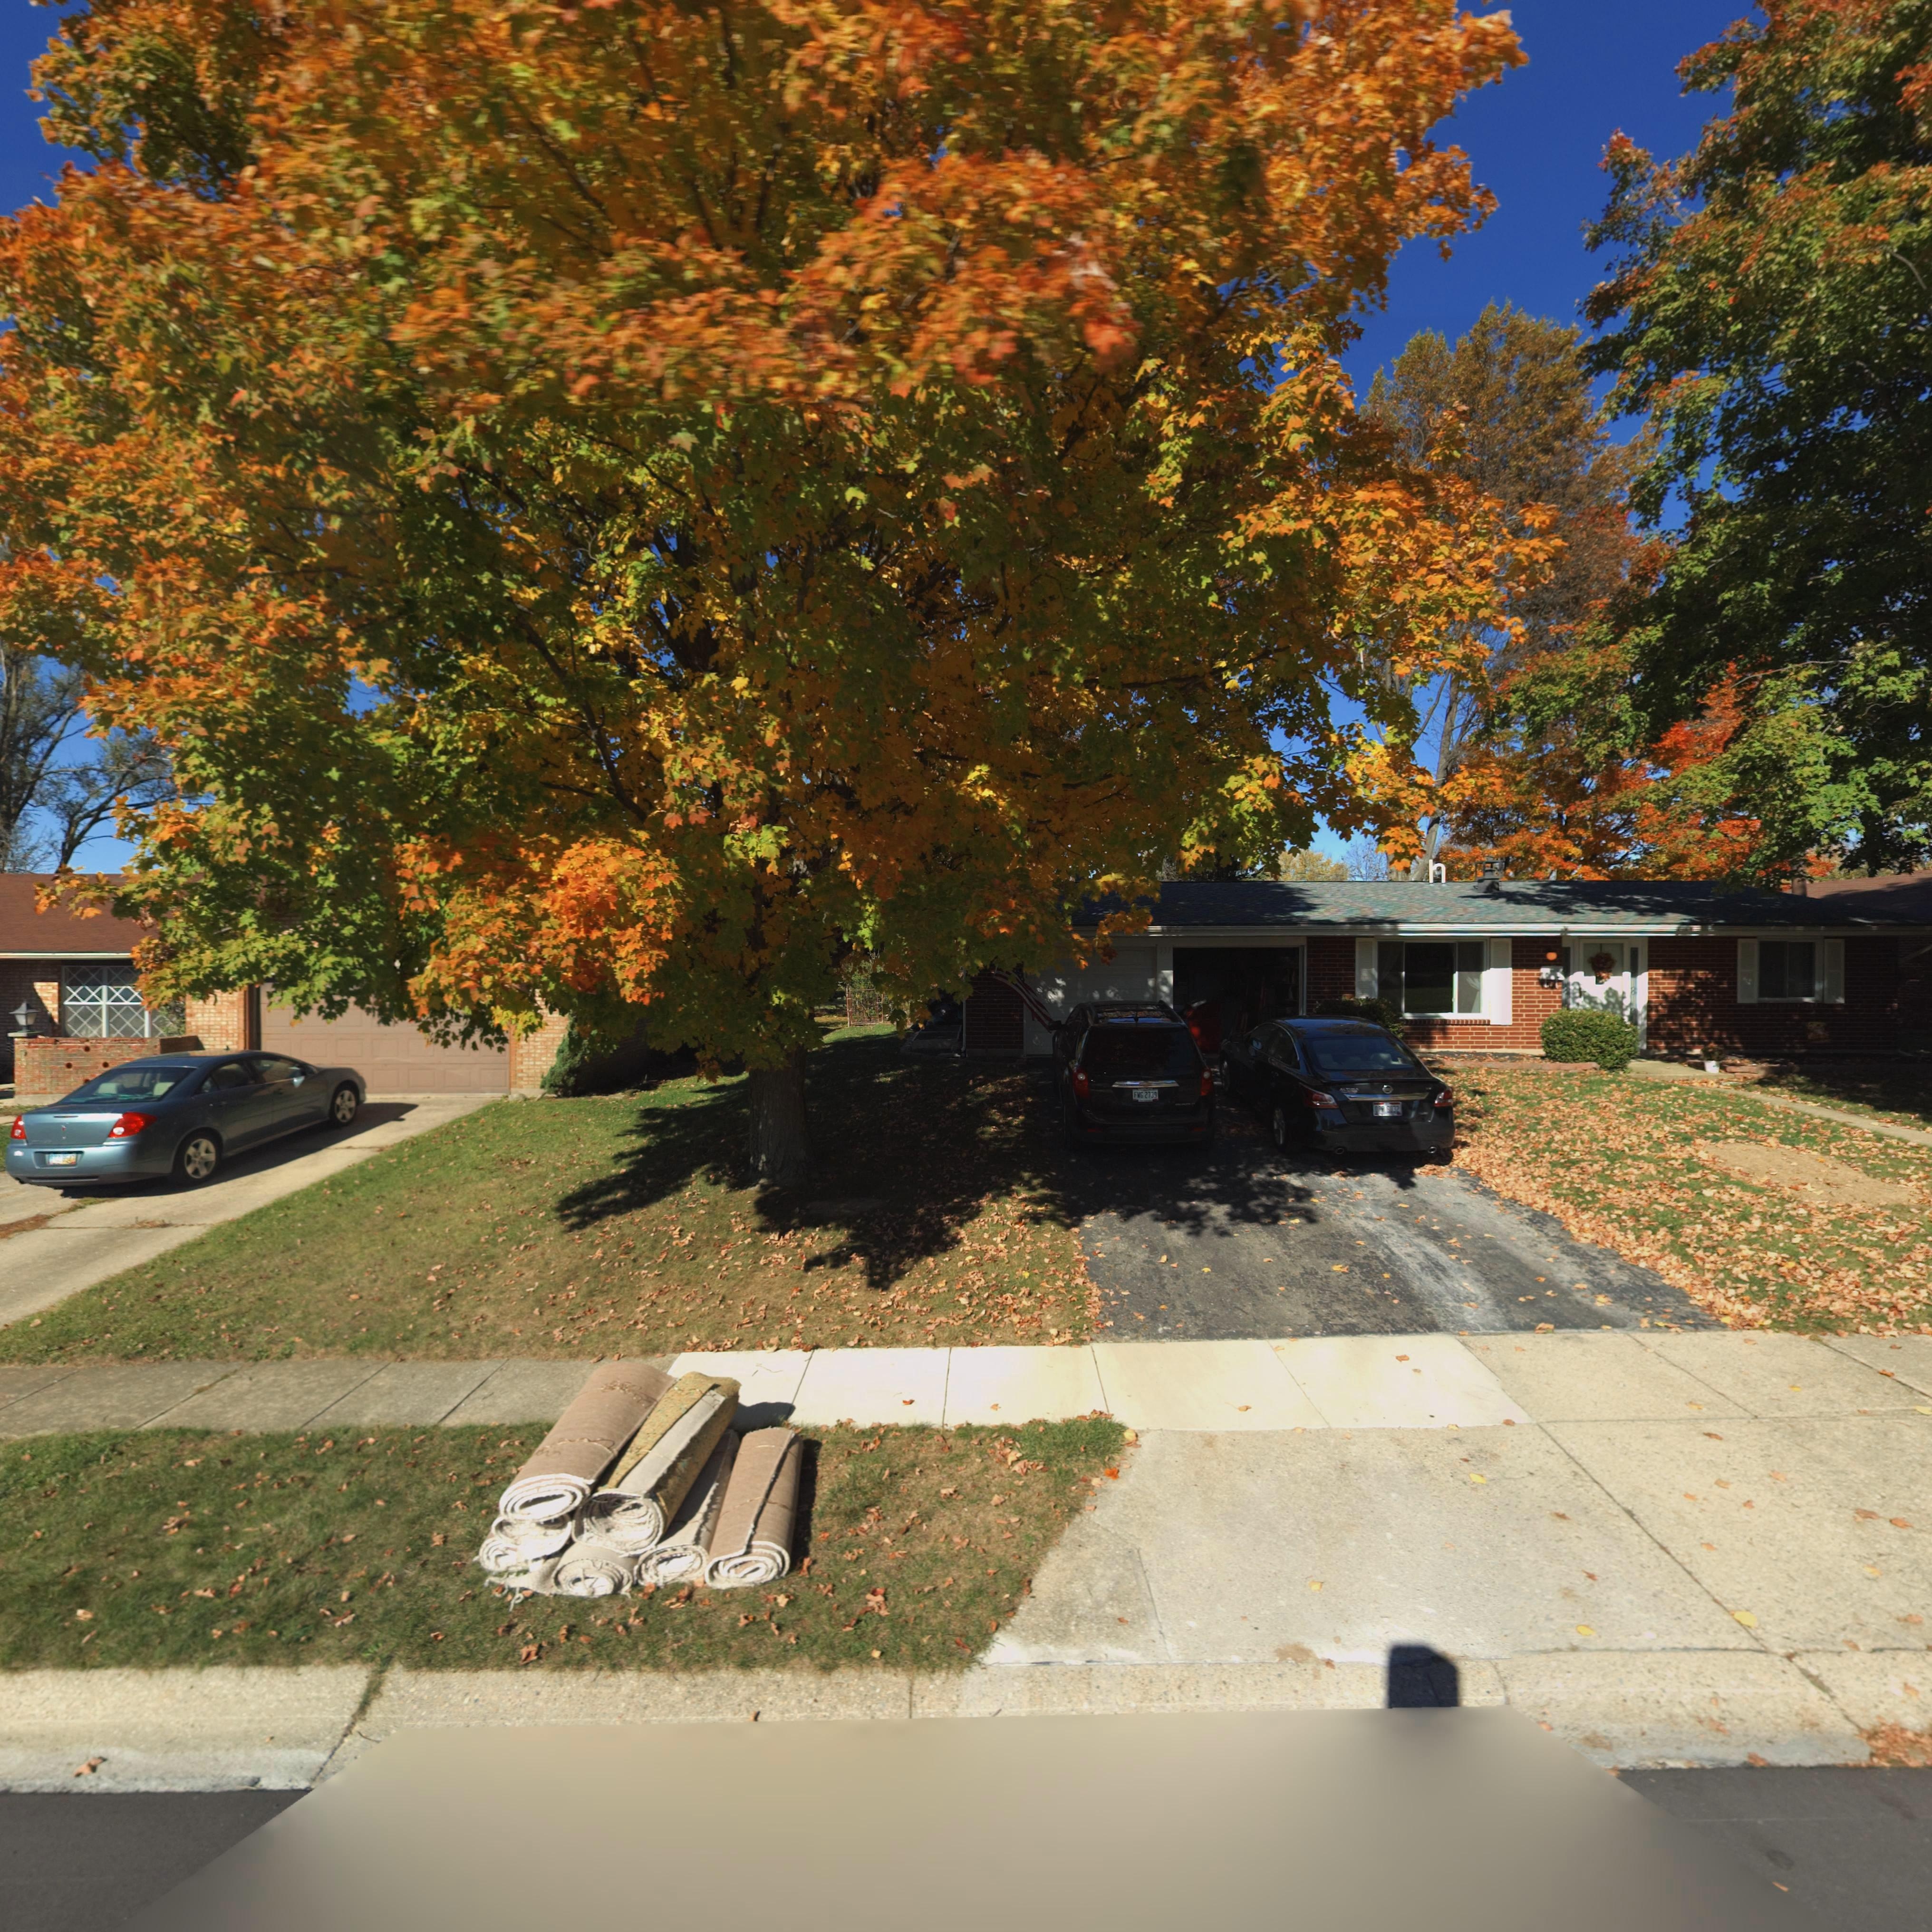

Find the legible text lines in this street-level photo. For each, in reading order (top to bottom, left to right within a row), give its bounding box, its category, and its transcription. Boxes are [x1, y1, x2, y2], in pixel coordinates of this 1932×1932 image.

[1159, 946, 1171, 955] StreetNumber: 531
[1133, 1091, 1158, 1099] None: FWG*2739
[1386, 1105, 1400, 1113] None: 6032